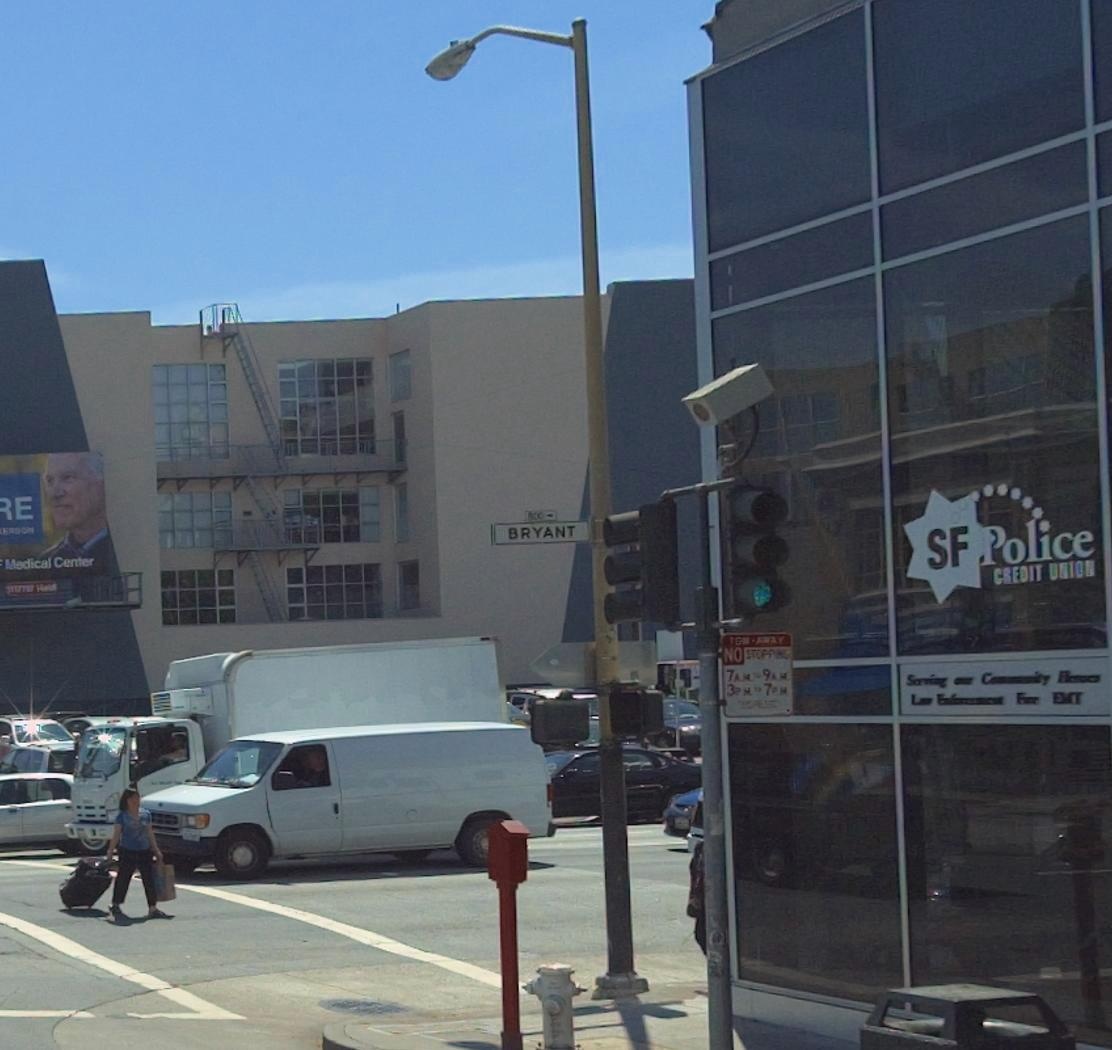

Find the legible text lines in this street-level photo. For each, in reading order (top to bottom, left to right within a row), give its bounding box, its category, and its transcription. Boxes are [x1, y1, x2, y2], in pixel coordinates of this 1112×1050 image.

[12, 494, 34, 521] None: E
[526, 511, 554, 520] StreetNumberRange: 800->
[508, 523, 577, 541] StreetName: BRYANT
[925, 522, 971, 573] BusinessName: SF
[979, 517, 1098, 568] BusinessName: Police
[3, 556, 96, 571] None: Medical Center
[991, 557, 1099, 586] BusinessName: CREDIT UNION
[727, 633, 786, 647] None: TOW-AWAY
[724, 646, 790, 664] None: NO STOPPING
[724, 668, 753, 684] None: 7AM
[761, 668, 788, 682] None: 9AM
[726, 683, 752, 696] None: 3PM
[761, 682, 788, 695] None: 7AM